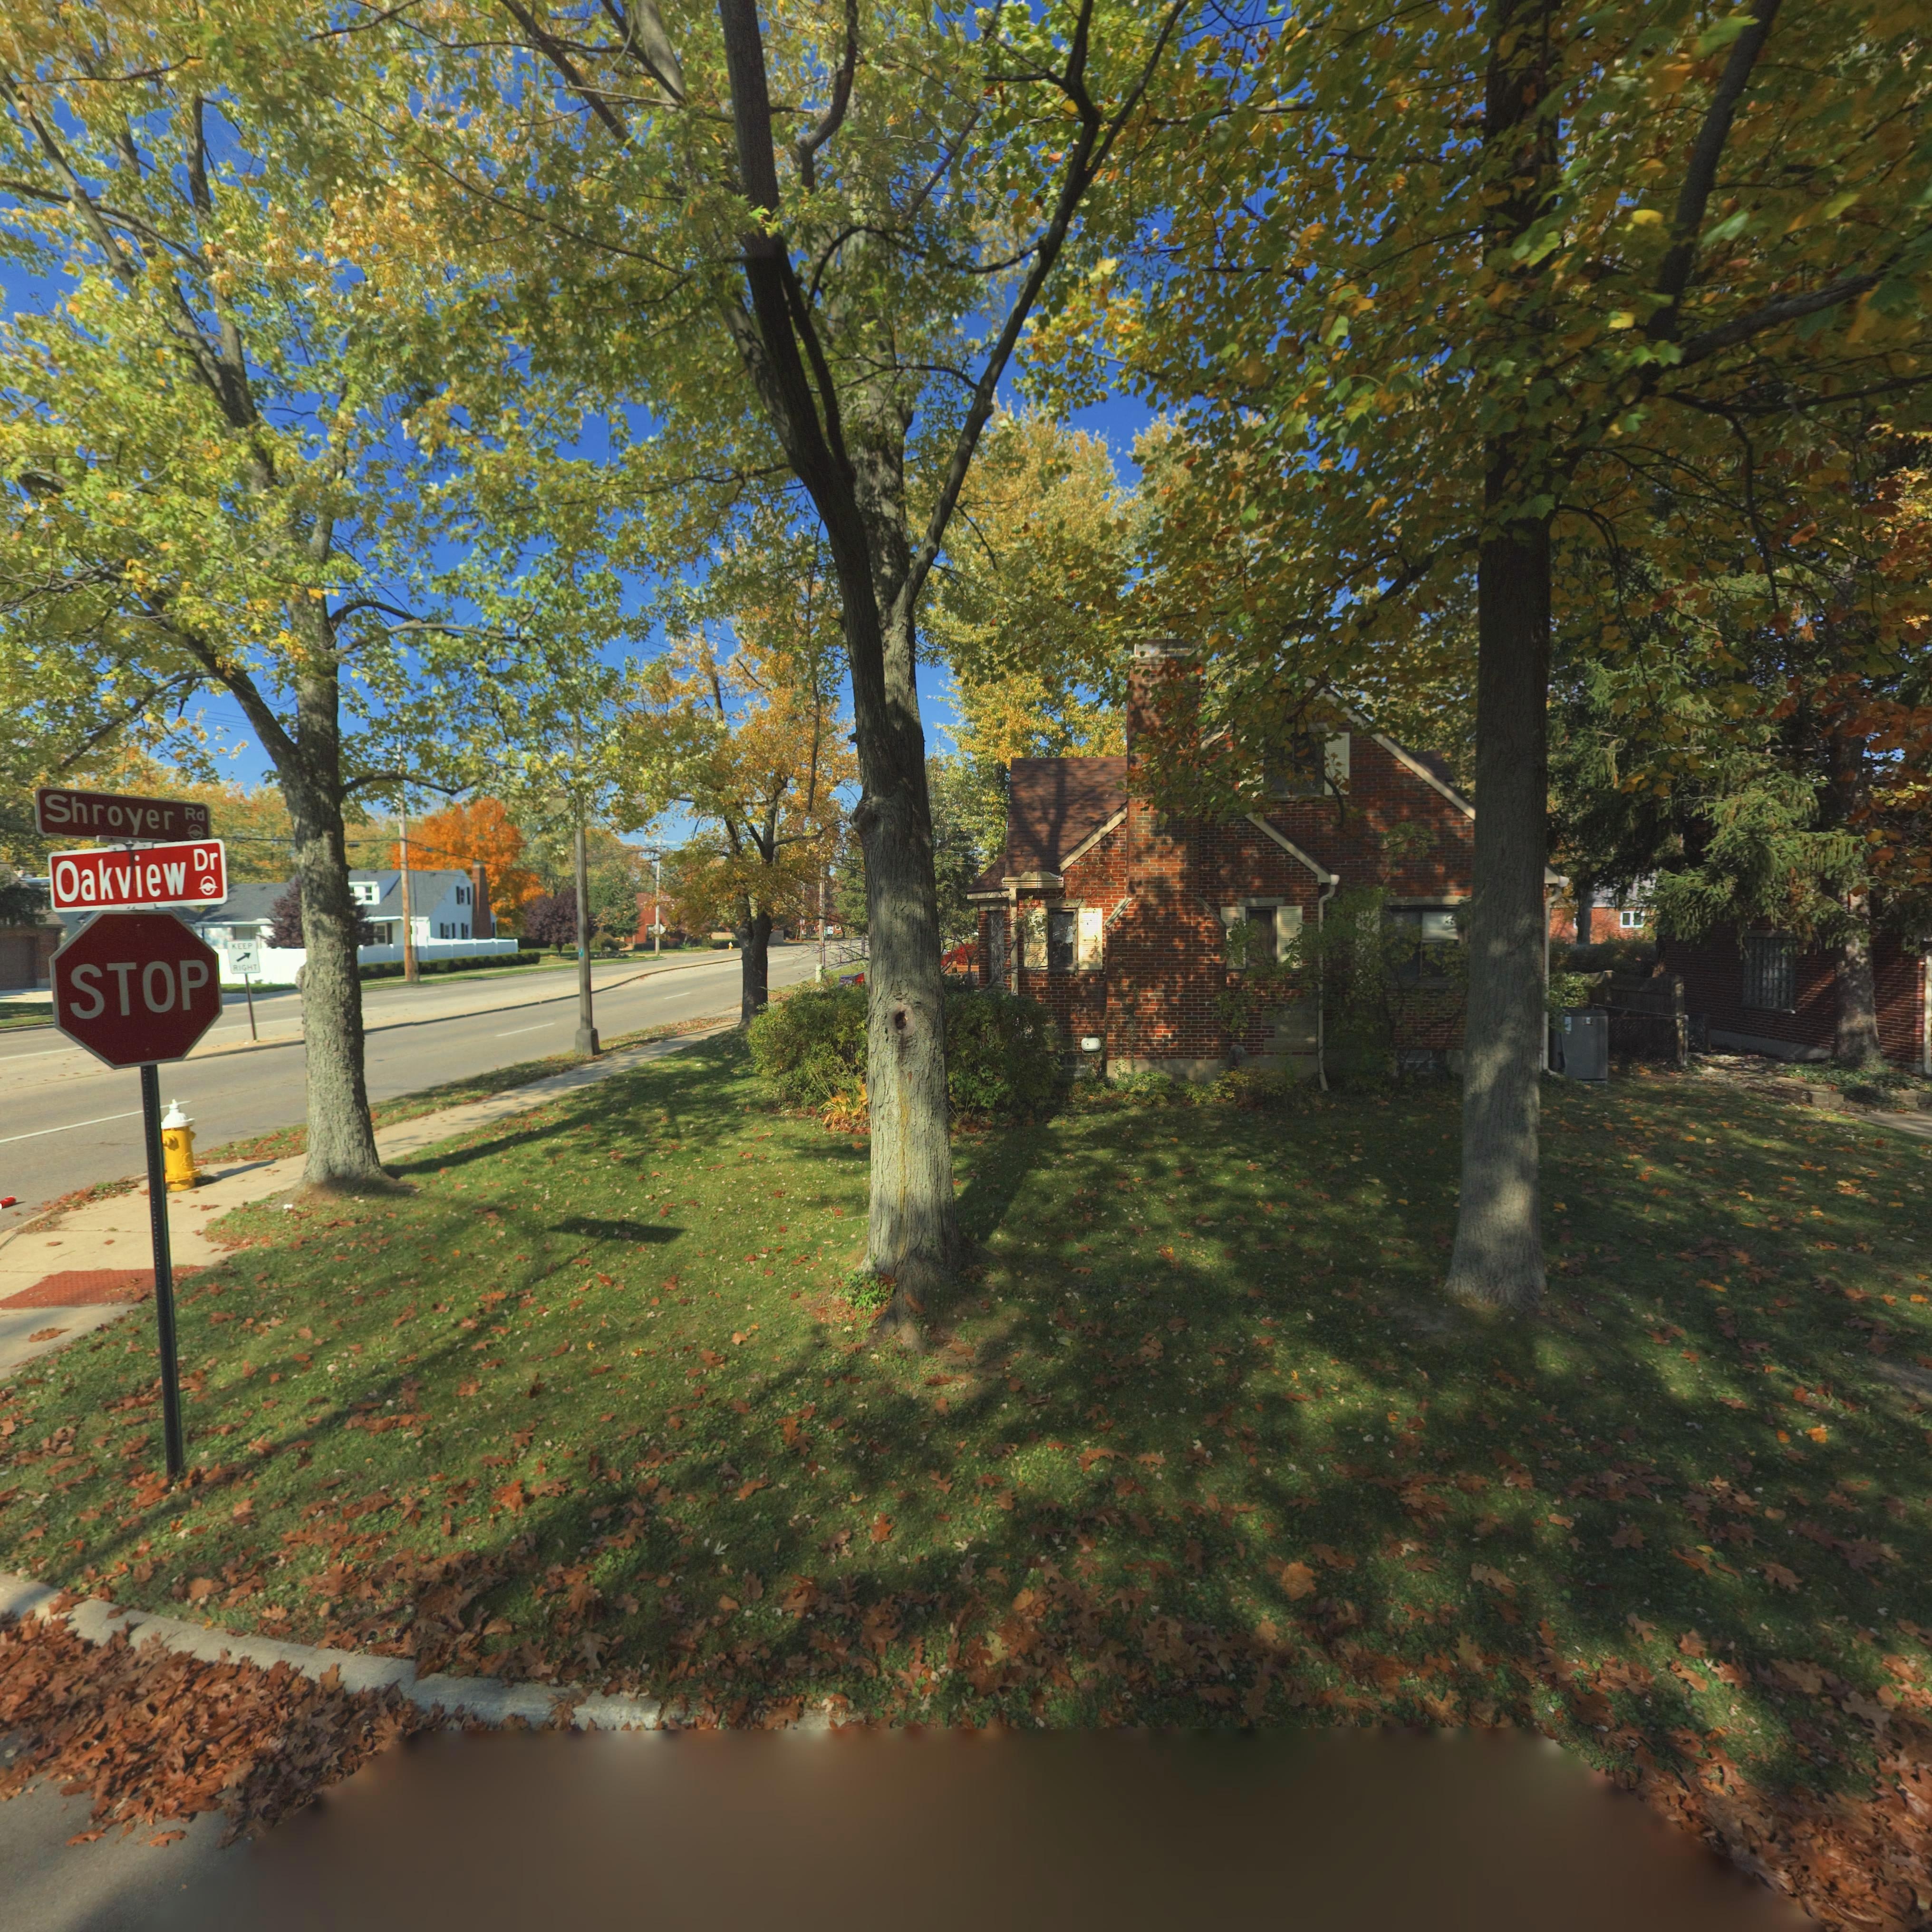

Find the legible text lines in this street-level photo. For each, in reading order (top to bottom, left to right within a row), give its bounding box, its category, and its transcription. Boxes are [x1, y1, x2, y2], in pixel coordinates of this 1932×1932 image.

[44, 792, 206, 837] StreetName: Shroyer Rd
[55, 848, 219, 903] StreetName: Oakview Dr
[231, 942, 253, 950] None: KEEP
[232, 964, 258, 971] None: RIGHT
[68, 959, 210, 1021] None: STOP